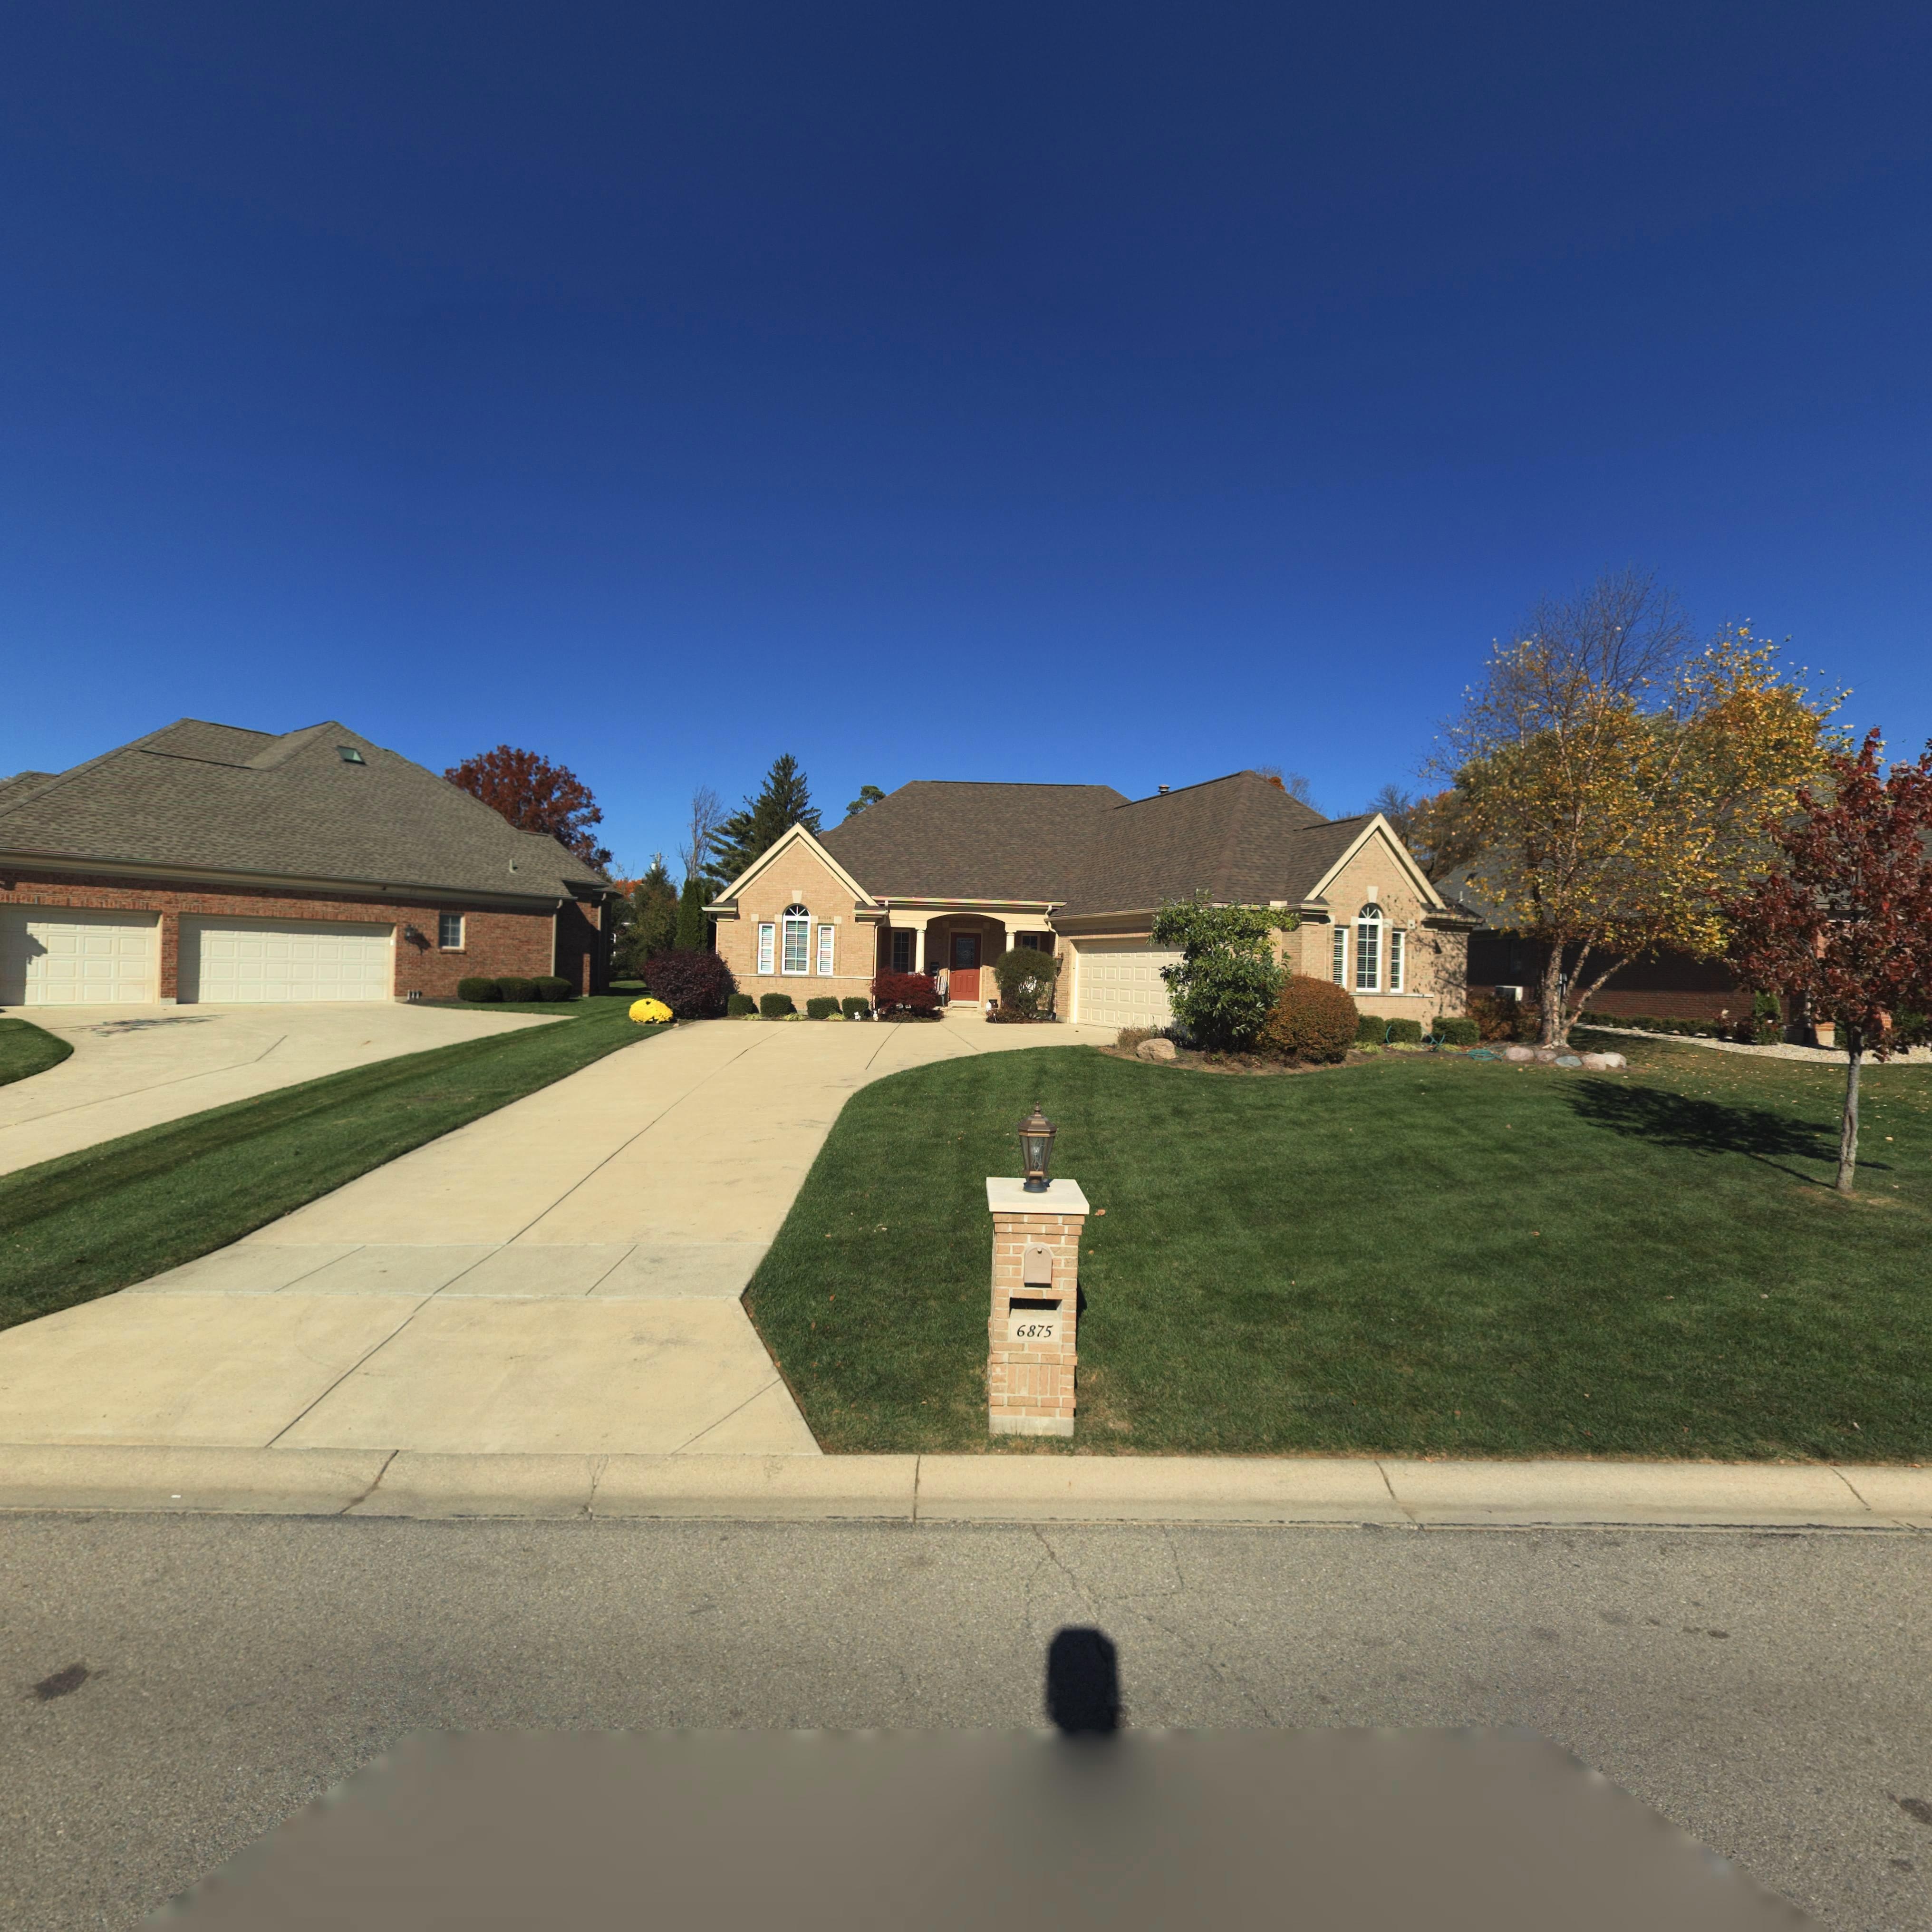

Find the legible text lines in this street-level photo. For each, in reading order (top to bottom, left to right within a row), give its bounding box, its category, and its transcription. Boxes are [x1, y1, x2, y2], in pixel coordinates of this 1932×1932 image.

[1015, 1324, 1055, 1339] StreetNumber: 6875